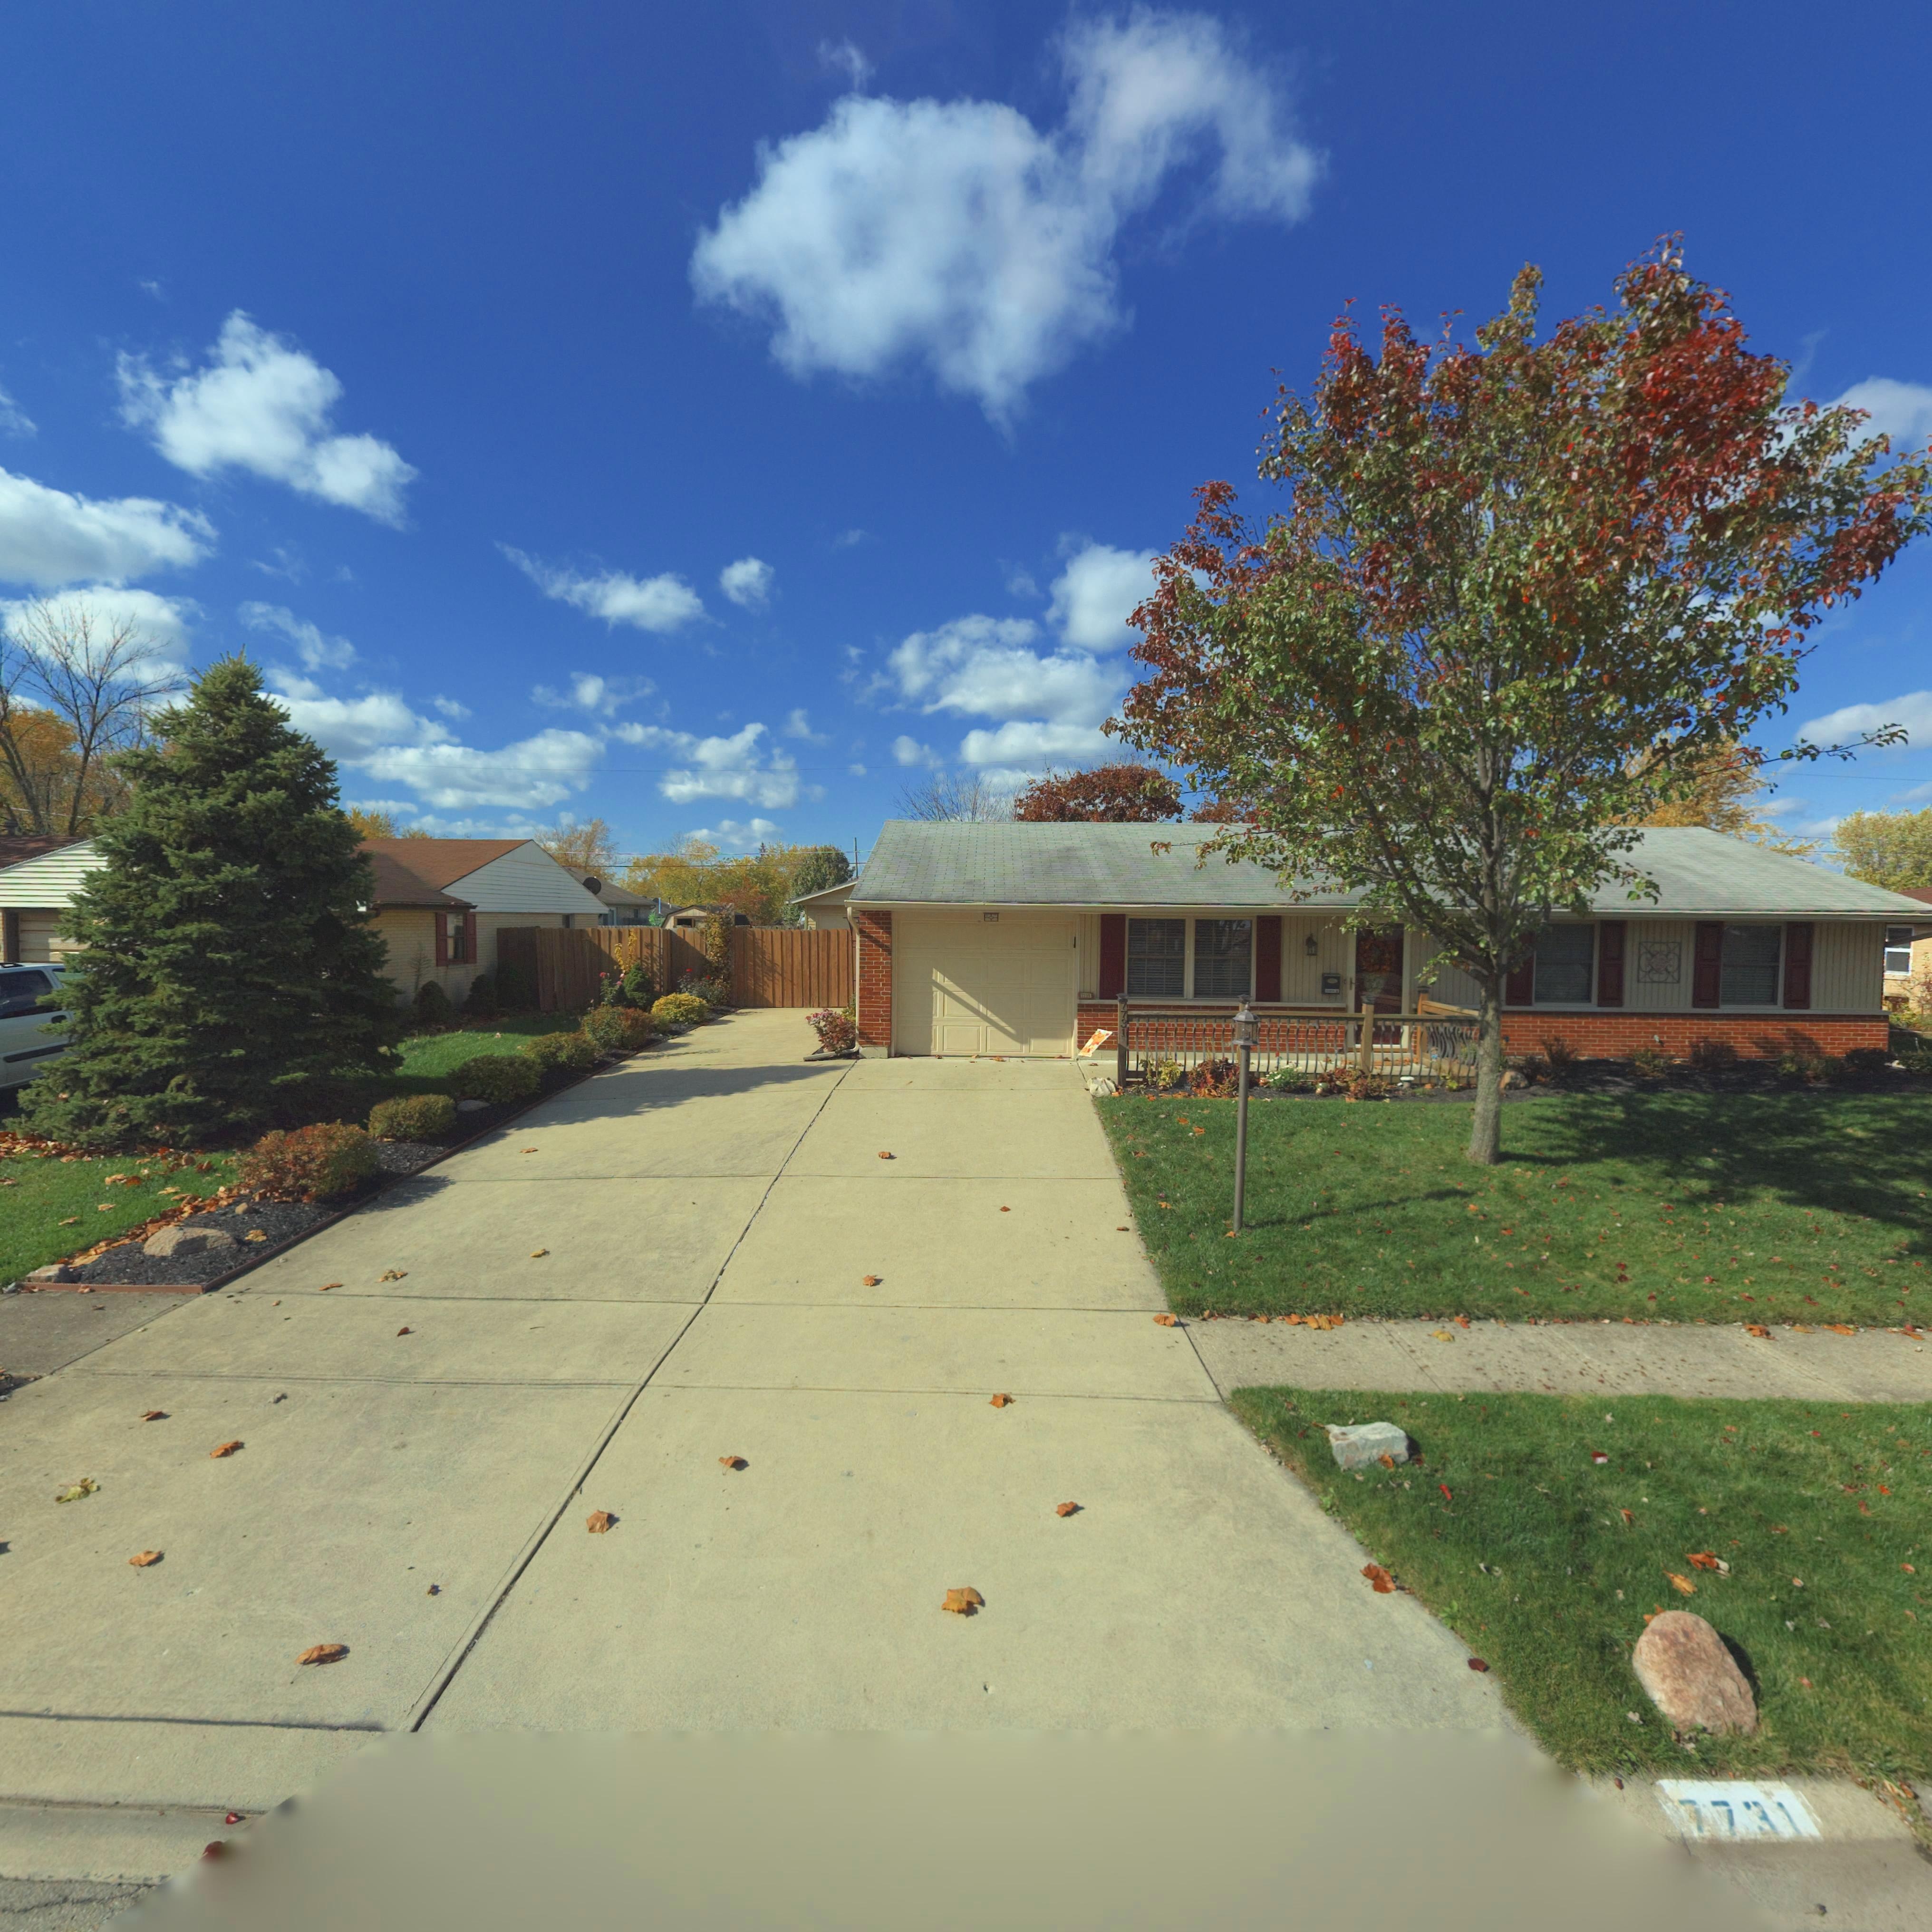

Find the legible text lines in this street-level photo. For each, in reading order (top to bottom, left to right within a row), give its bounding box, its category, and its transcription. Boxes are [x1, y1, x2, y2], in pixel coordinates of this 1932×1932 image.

[1080, 993, 1091, 998] StreetNumber: 7731
[1120, 1001, 1127, 1037] StreetNumber: 7731
[1675, 1798, 1807, 1837] StreetNumber: 7731